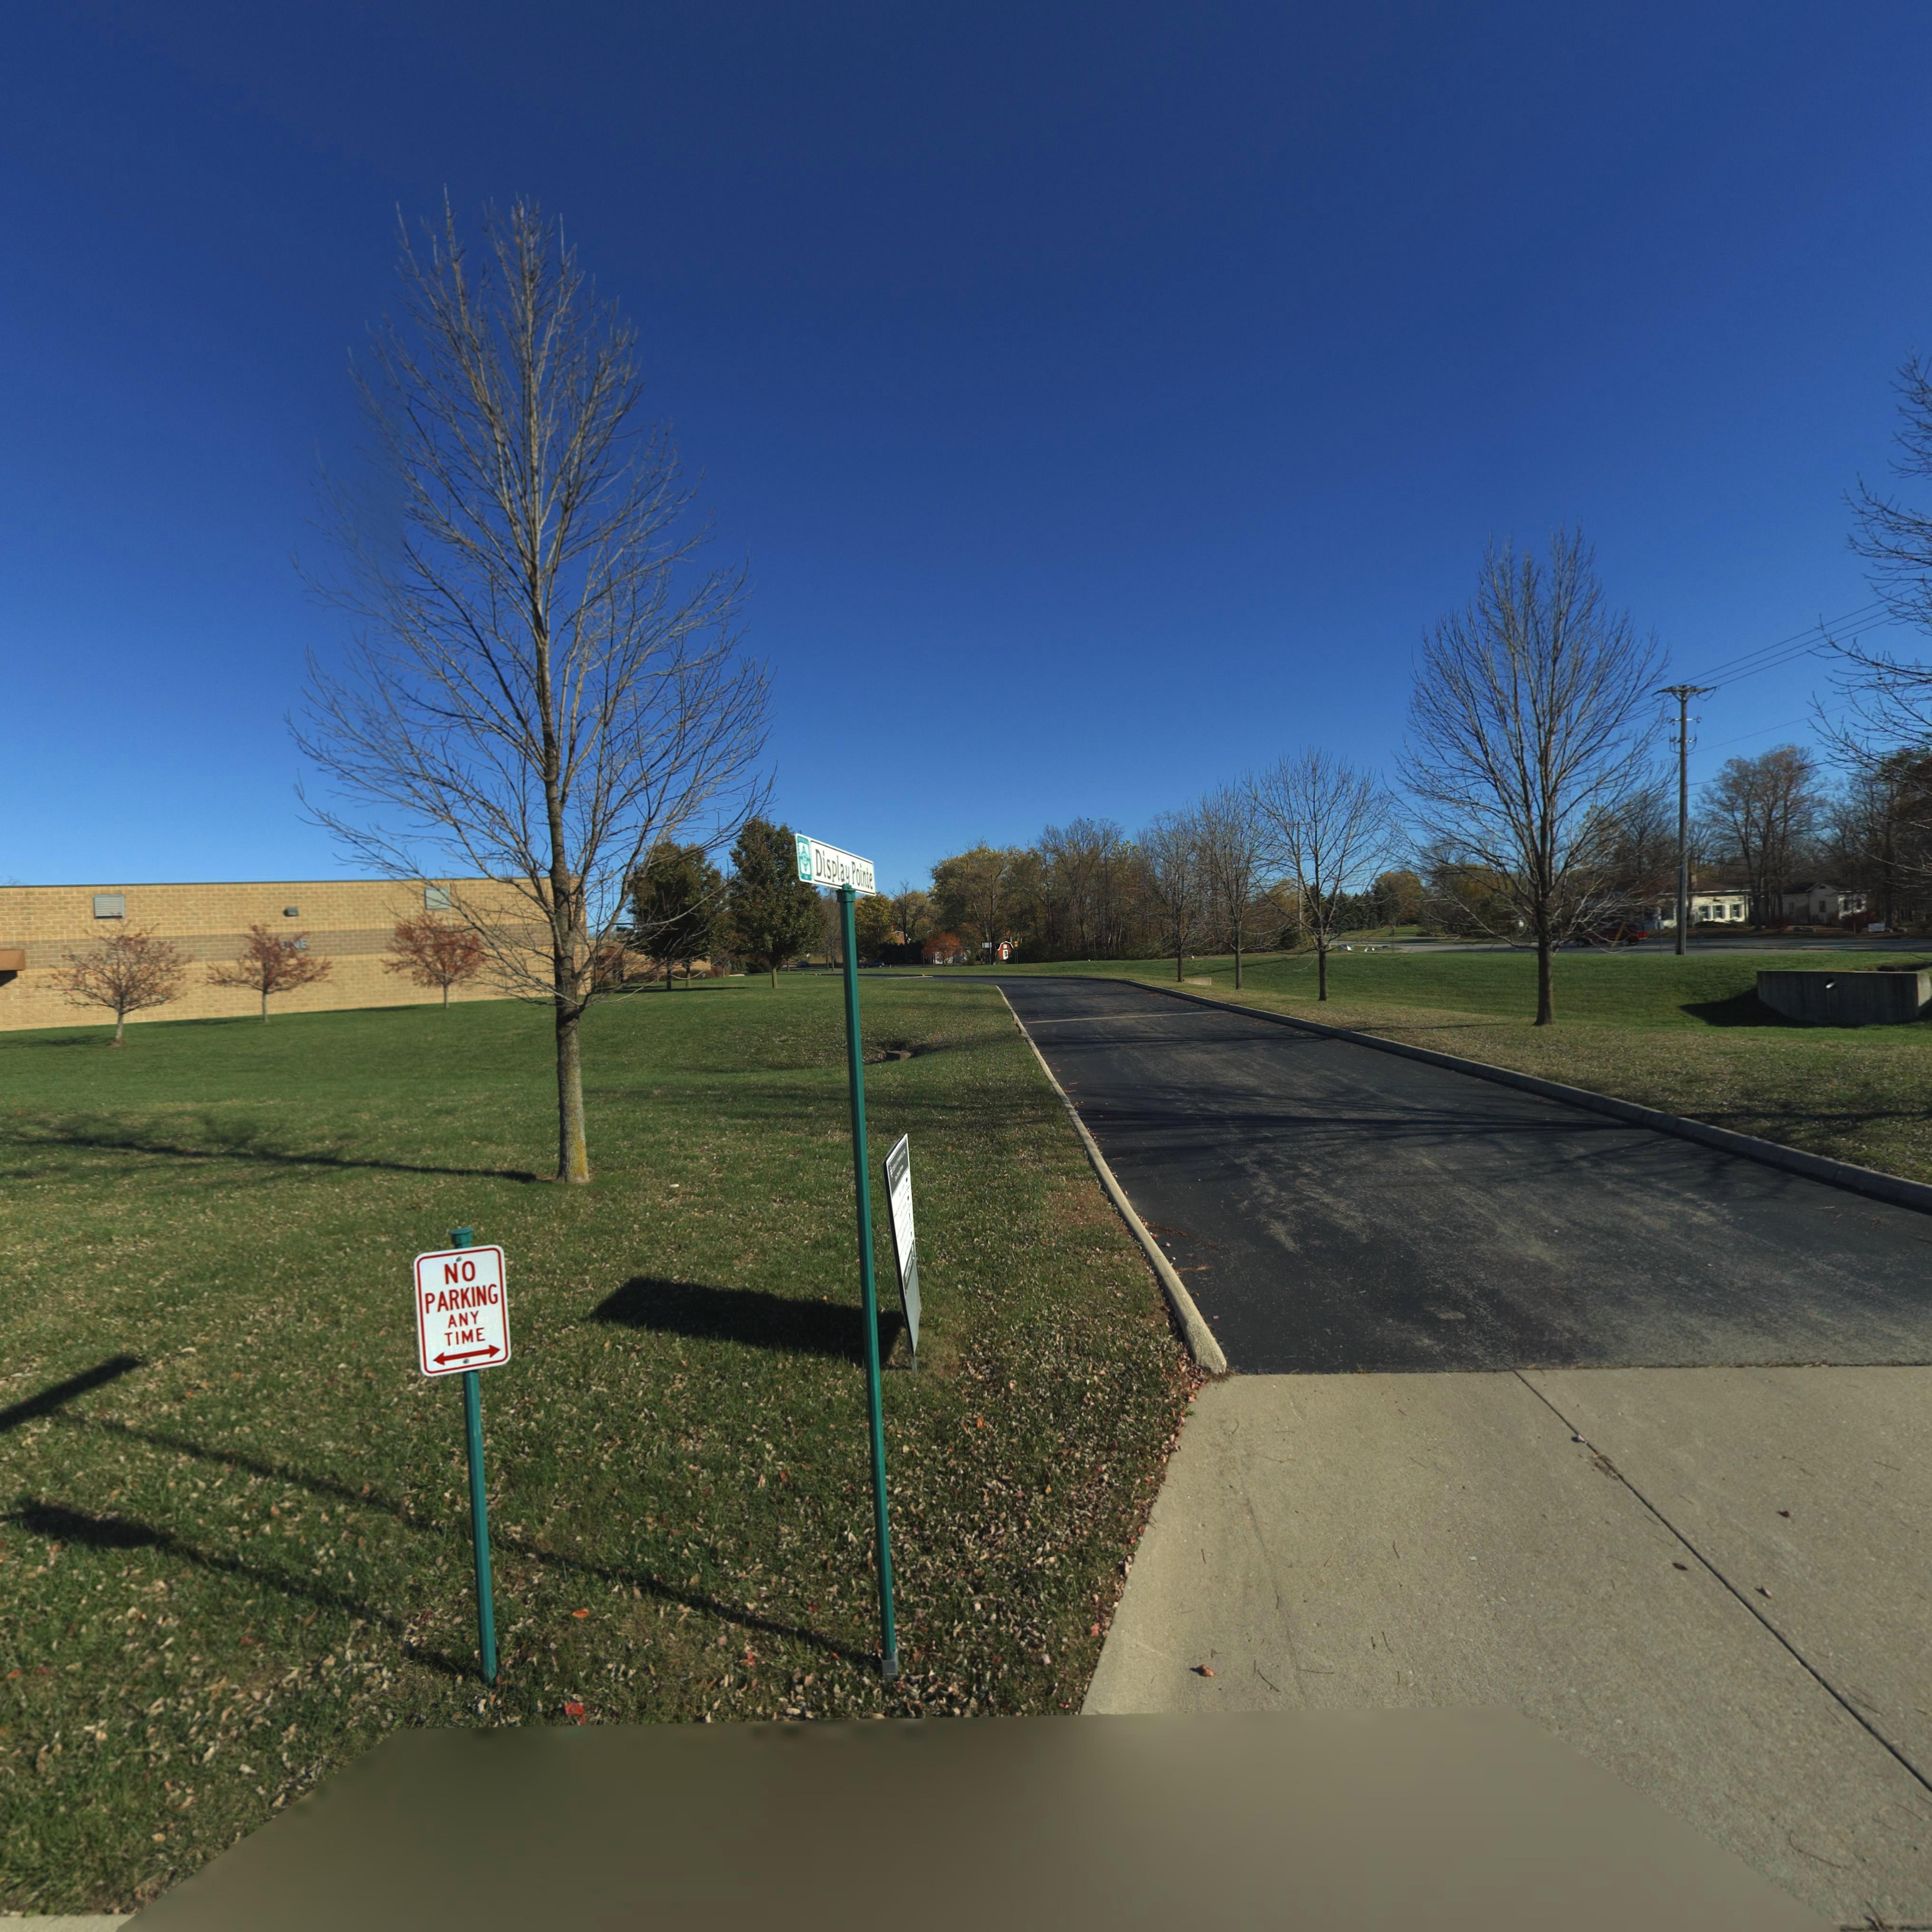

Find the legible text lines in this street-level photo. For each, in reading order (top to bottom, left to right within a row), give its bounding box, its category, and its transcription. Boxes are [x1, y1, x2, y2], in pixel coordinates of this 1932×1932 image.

[279, 938, 309, 950] StreetNumber: ONE